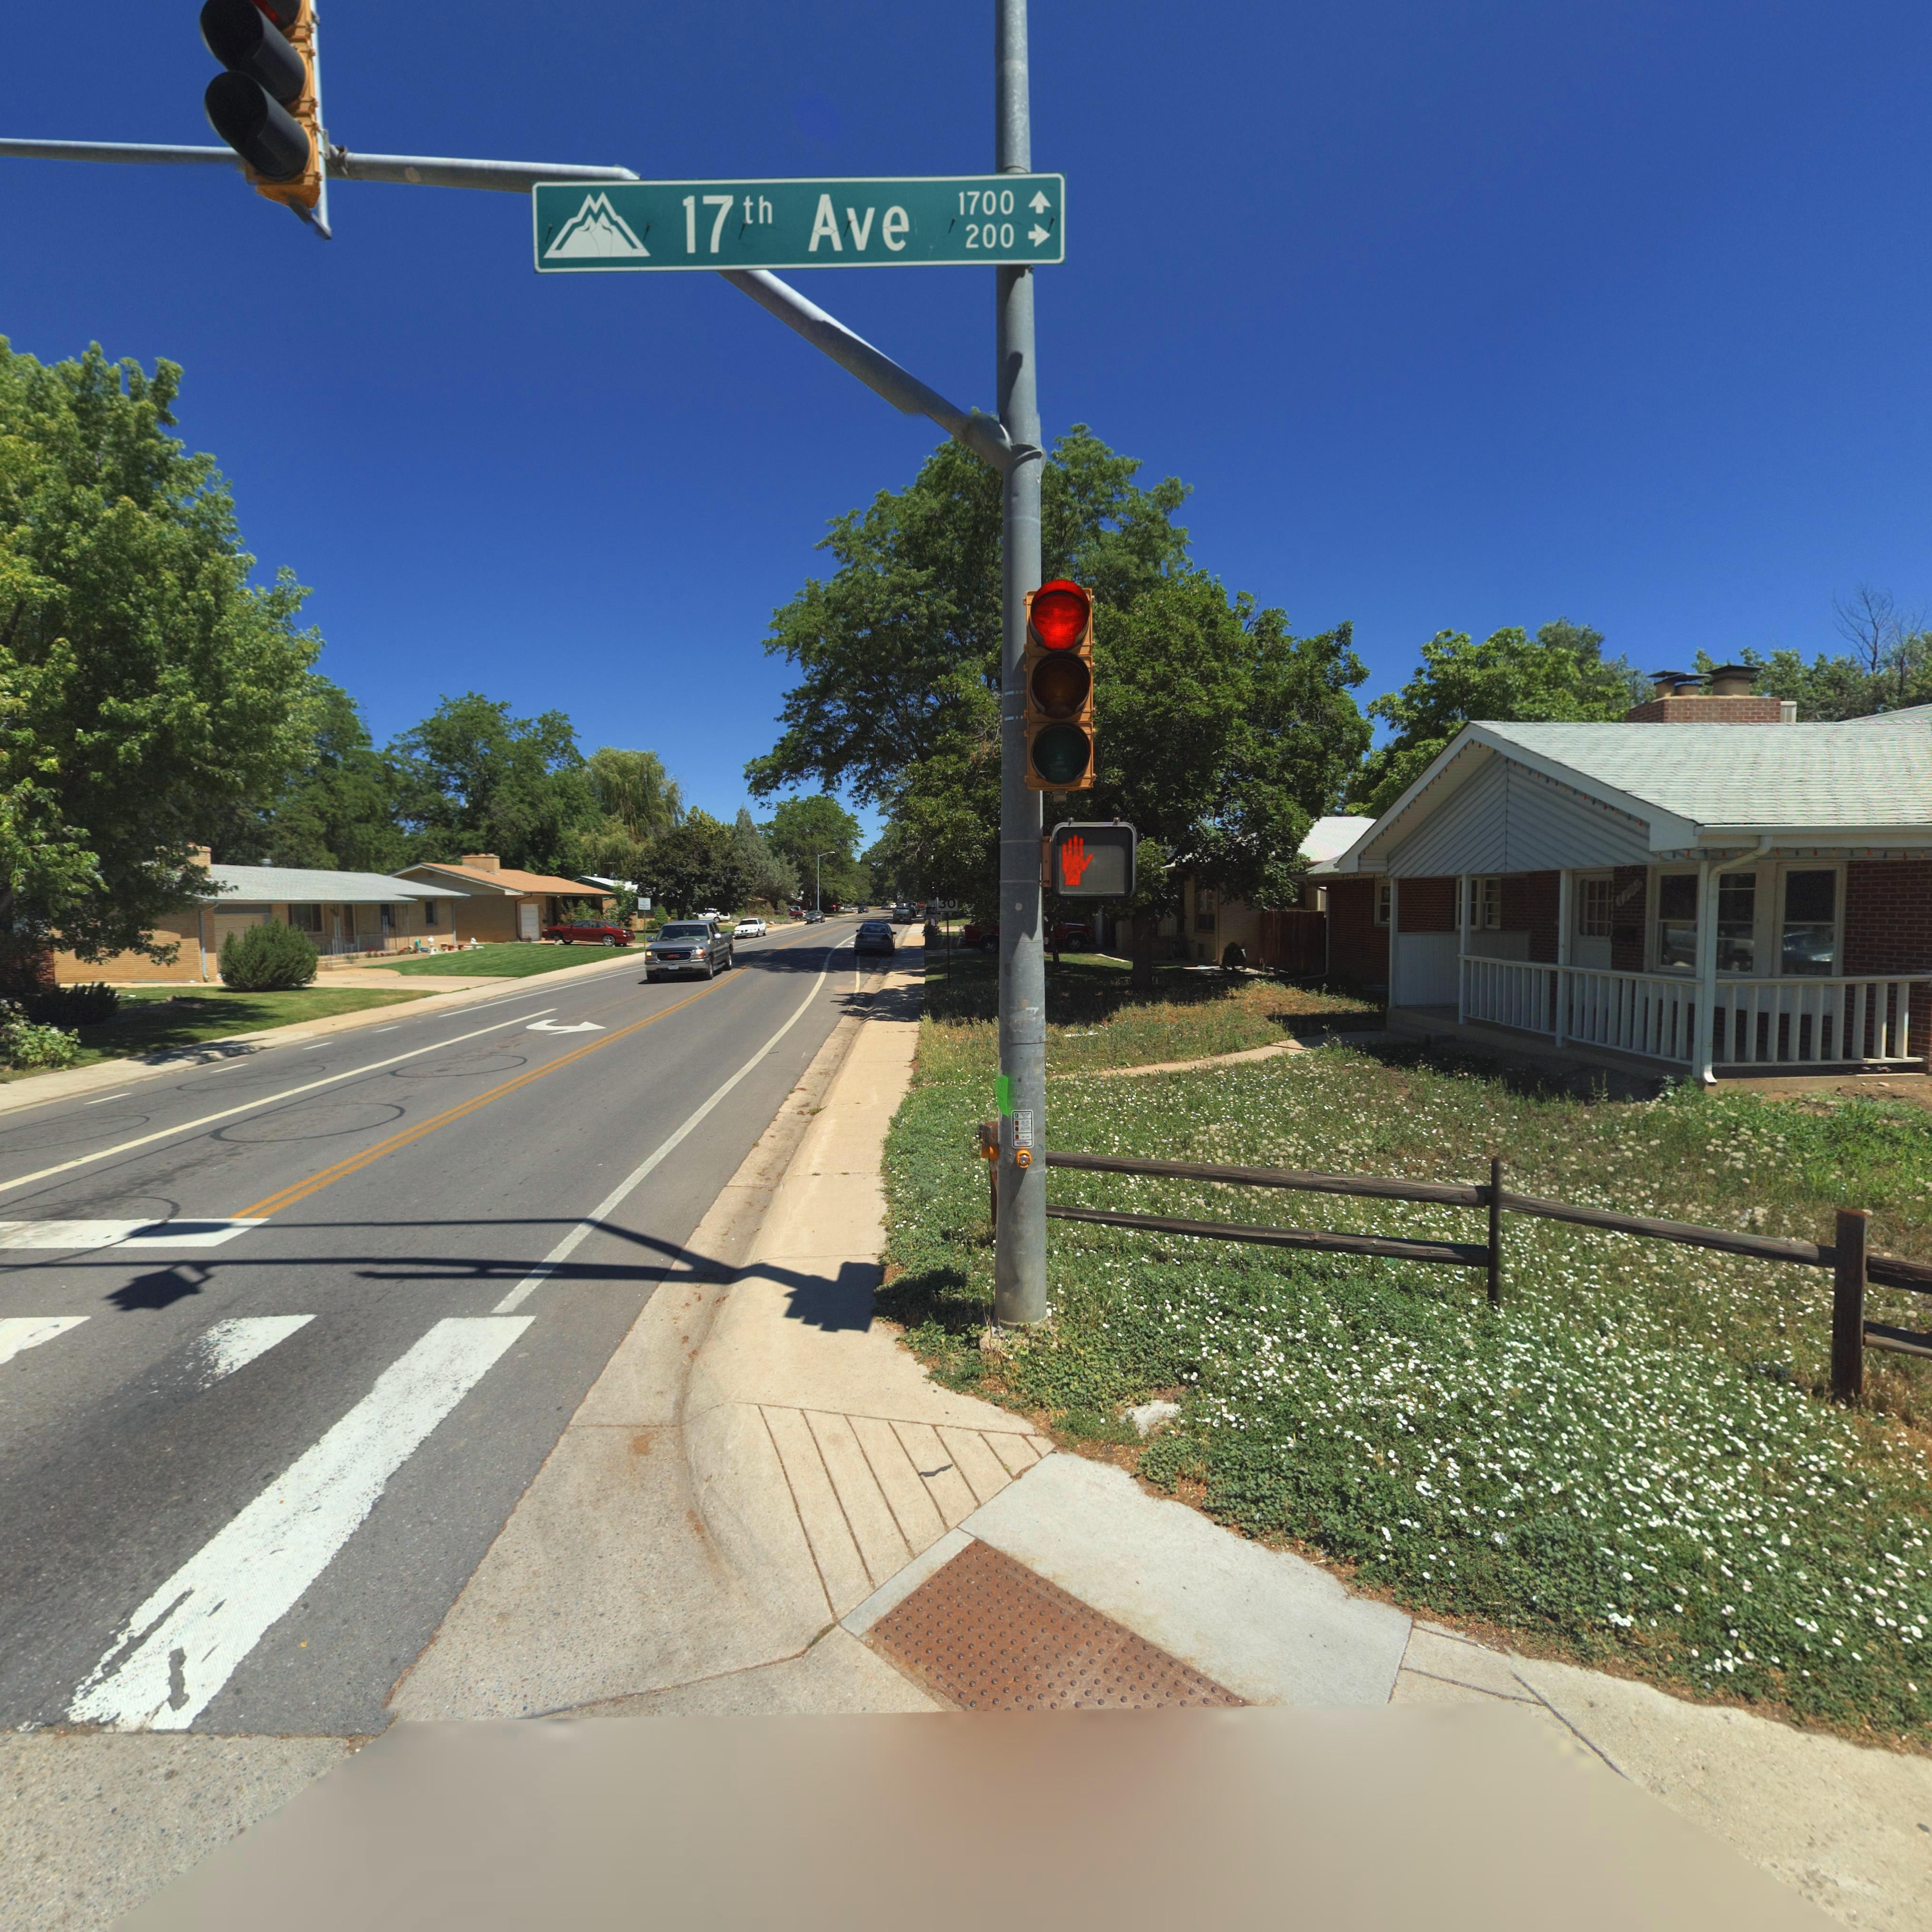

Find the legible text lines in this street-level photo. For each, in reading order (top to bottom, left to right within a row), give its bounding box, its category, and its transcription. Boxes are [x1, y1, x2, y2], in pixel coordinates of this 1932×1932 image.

[957, 189, 1014, 216] StreetNumberRange: 1700
[681, 192, 911, 254] StreetName: 17th Ave
[965, 222, 1053, 249] StreetNumberRange: 200->
[1617, 879, 1642, 906] StreetNumber: 10*